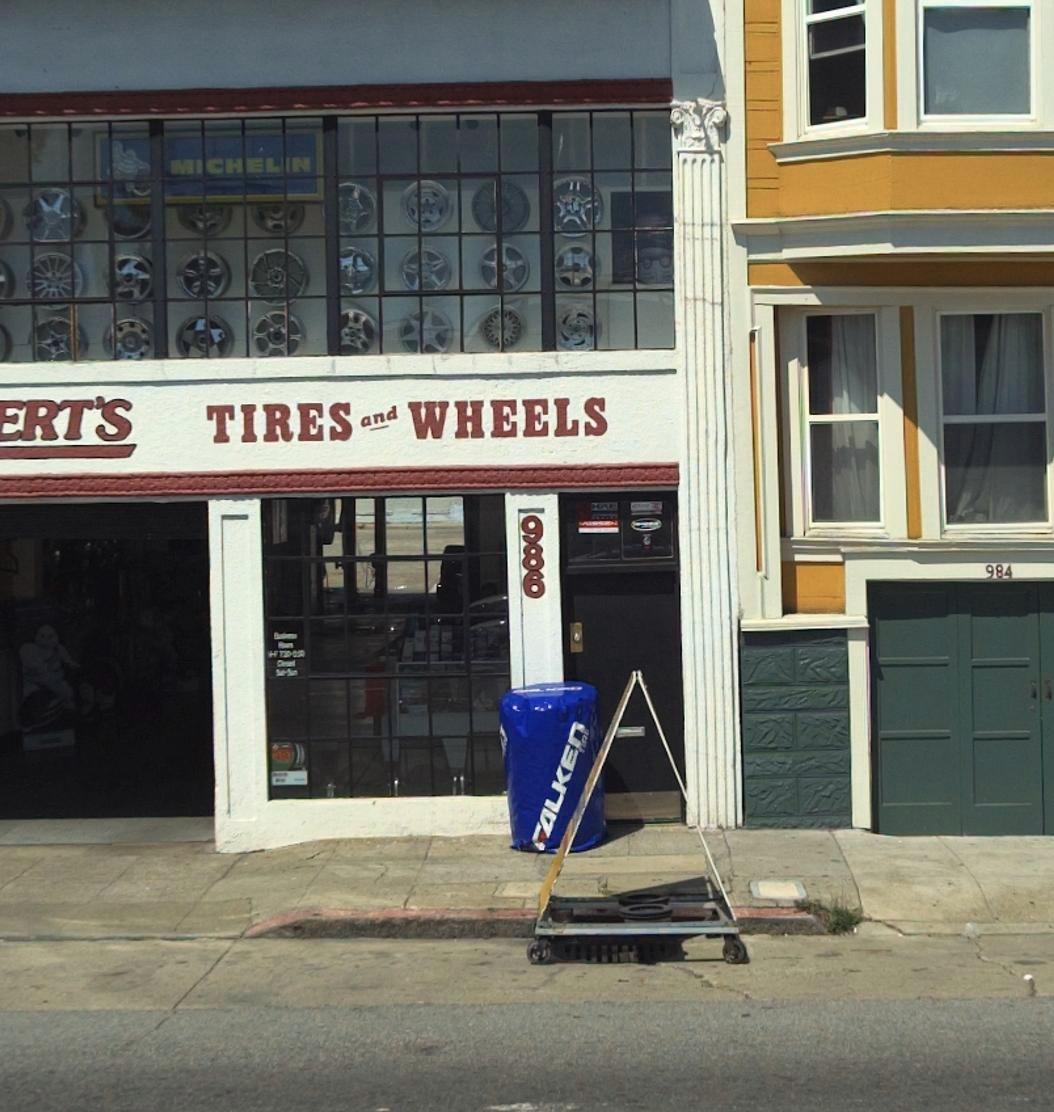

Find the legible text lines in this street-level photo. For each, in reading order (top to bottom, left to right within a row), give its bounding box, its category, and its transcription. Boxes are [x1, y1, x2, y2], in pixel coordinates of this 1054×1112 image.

[167, 154, 312, 175] None: MICHEL*N
[18, 393, 138, 442] BusinessName: RT'S
[203, 395, 610, 445] None: TIRES and WHEELS
[520, 514, 546, 600] StreetNumber: 986
[984, 563, 1015, 580] StreetNumber: 984
[528, 717, 589, 855] None: FALKEN